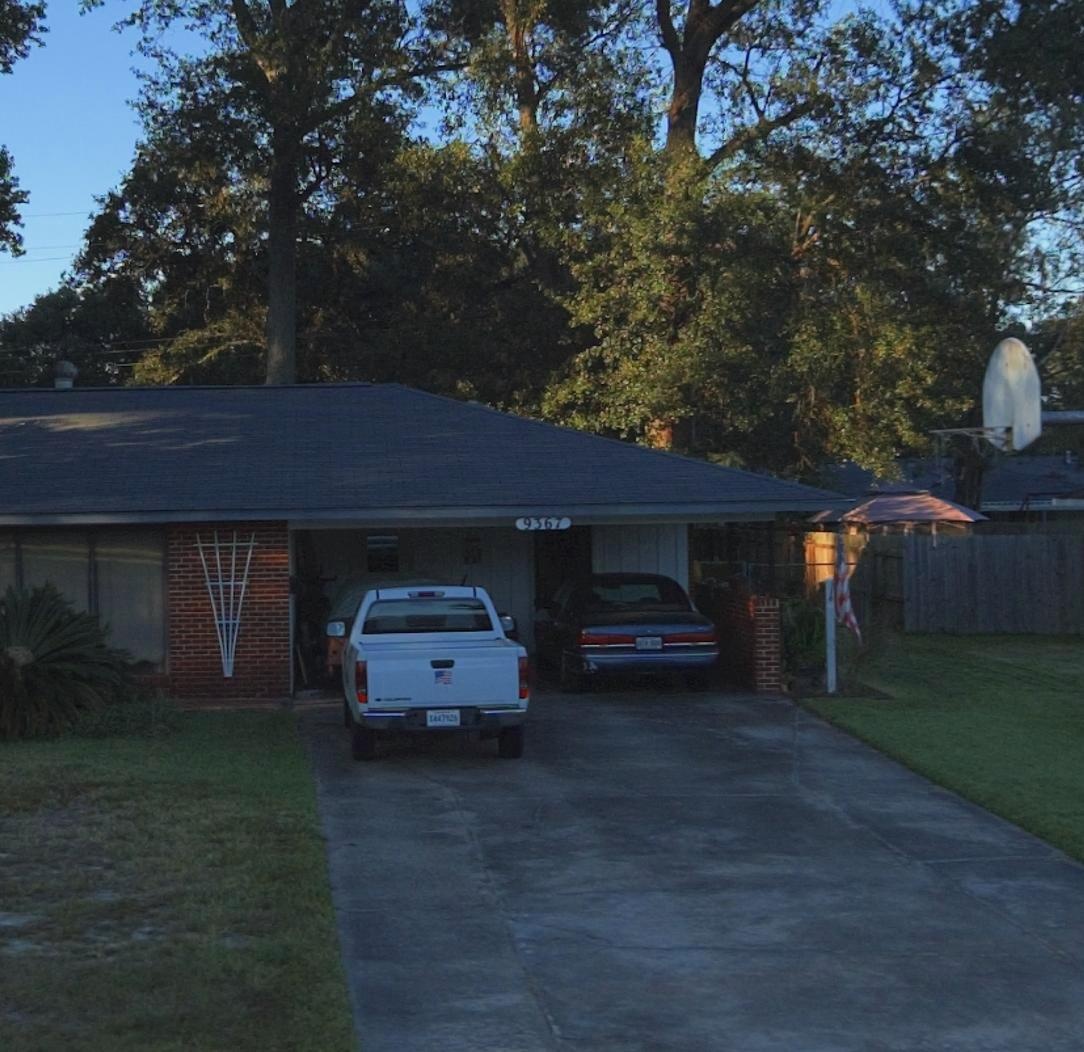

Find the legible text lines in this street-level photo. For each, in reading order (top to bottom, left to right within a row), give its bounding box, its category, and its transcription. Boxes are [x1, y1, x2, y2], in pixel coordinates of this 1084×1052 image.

[522, 516, 565, 531] StreetNumber: 9367